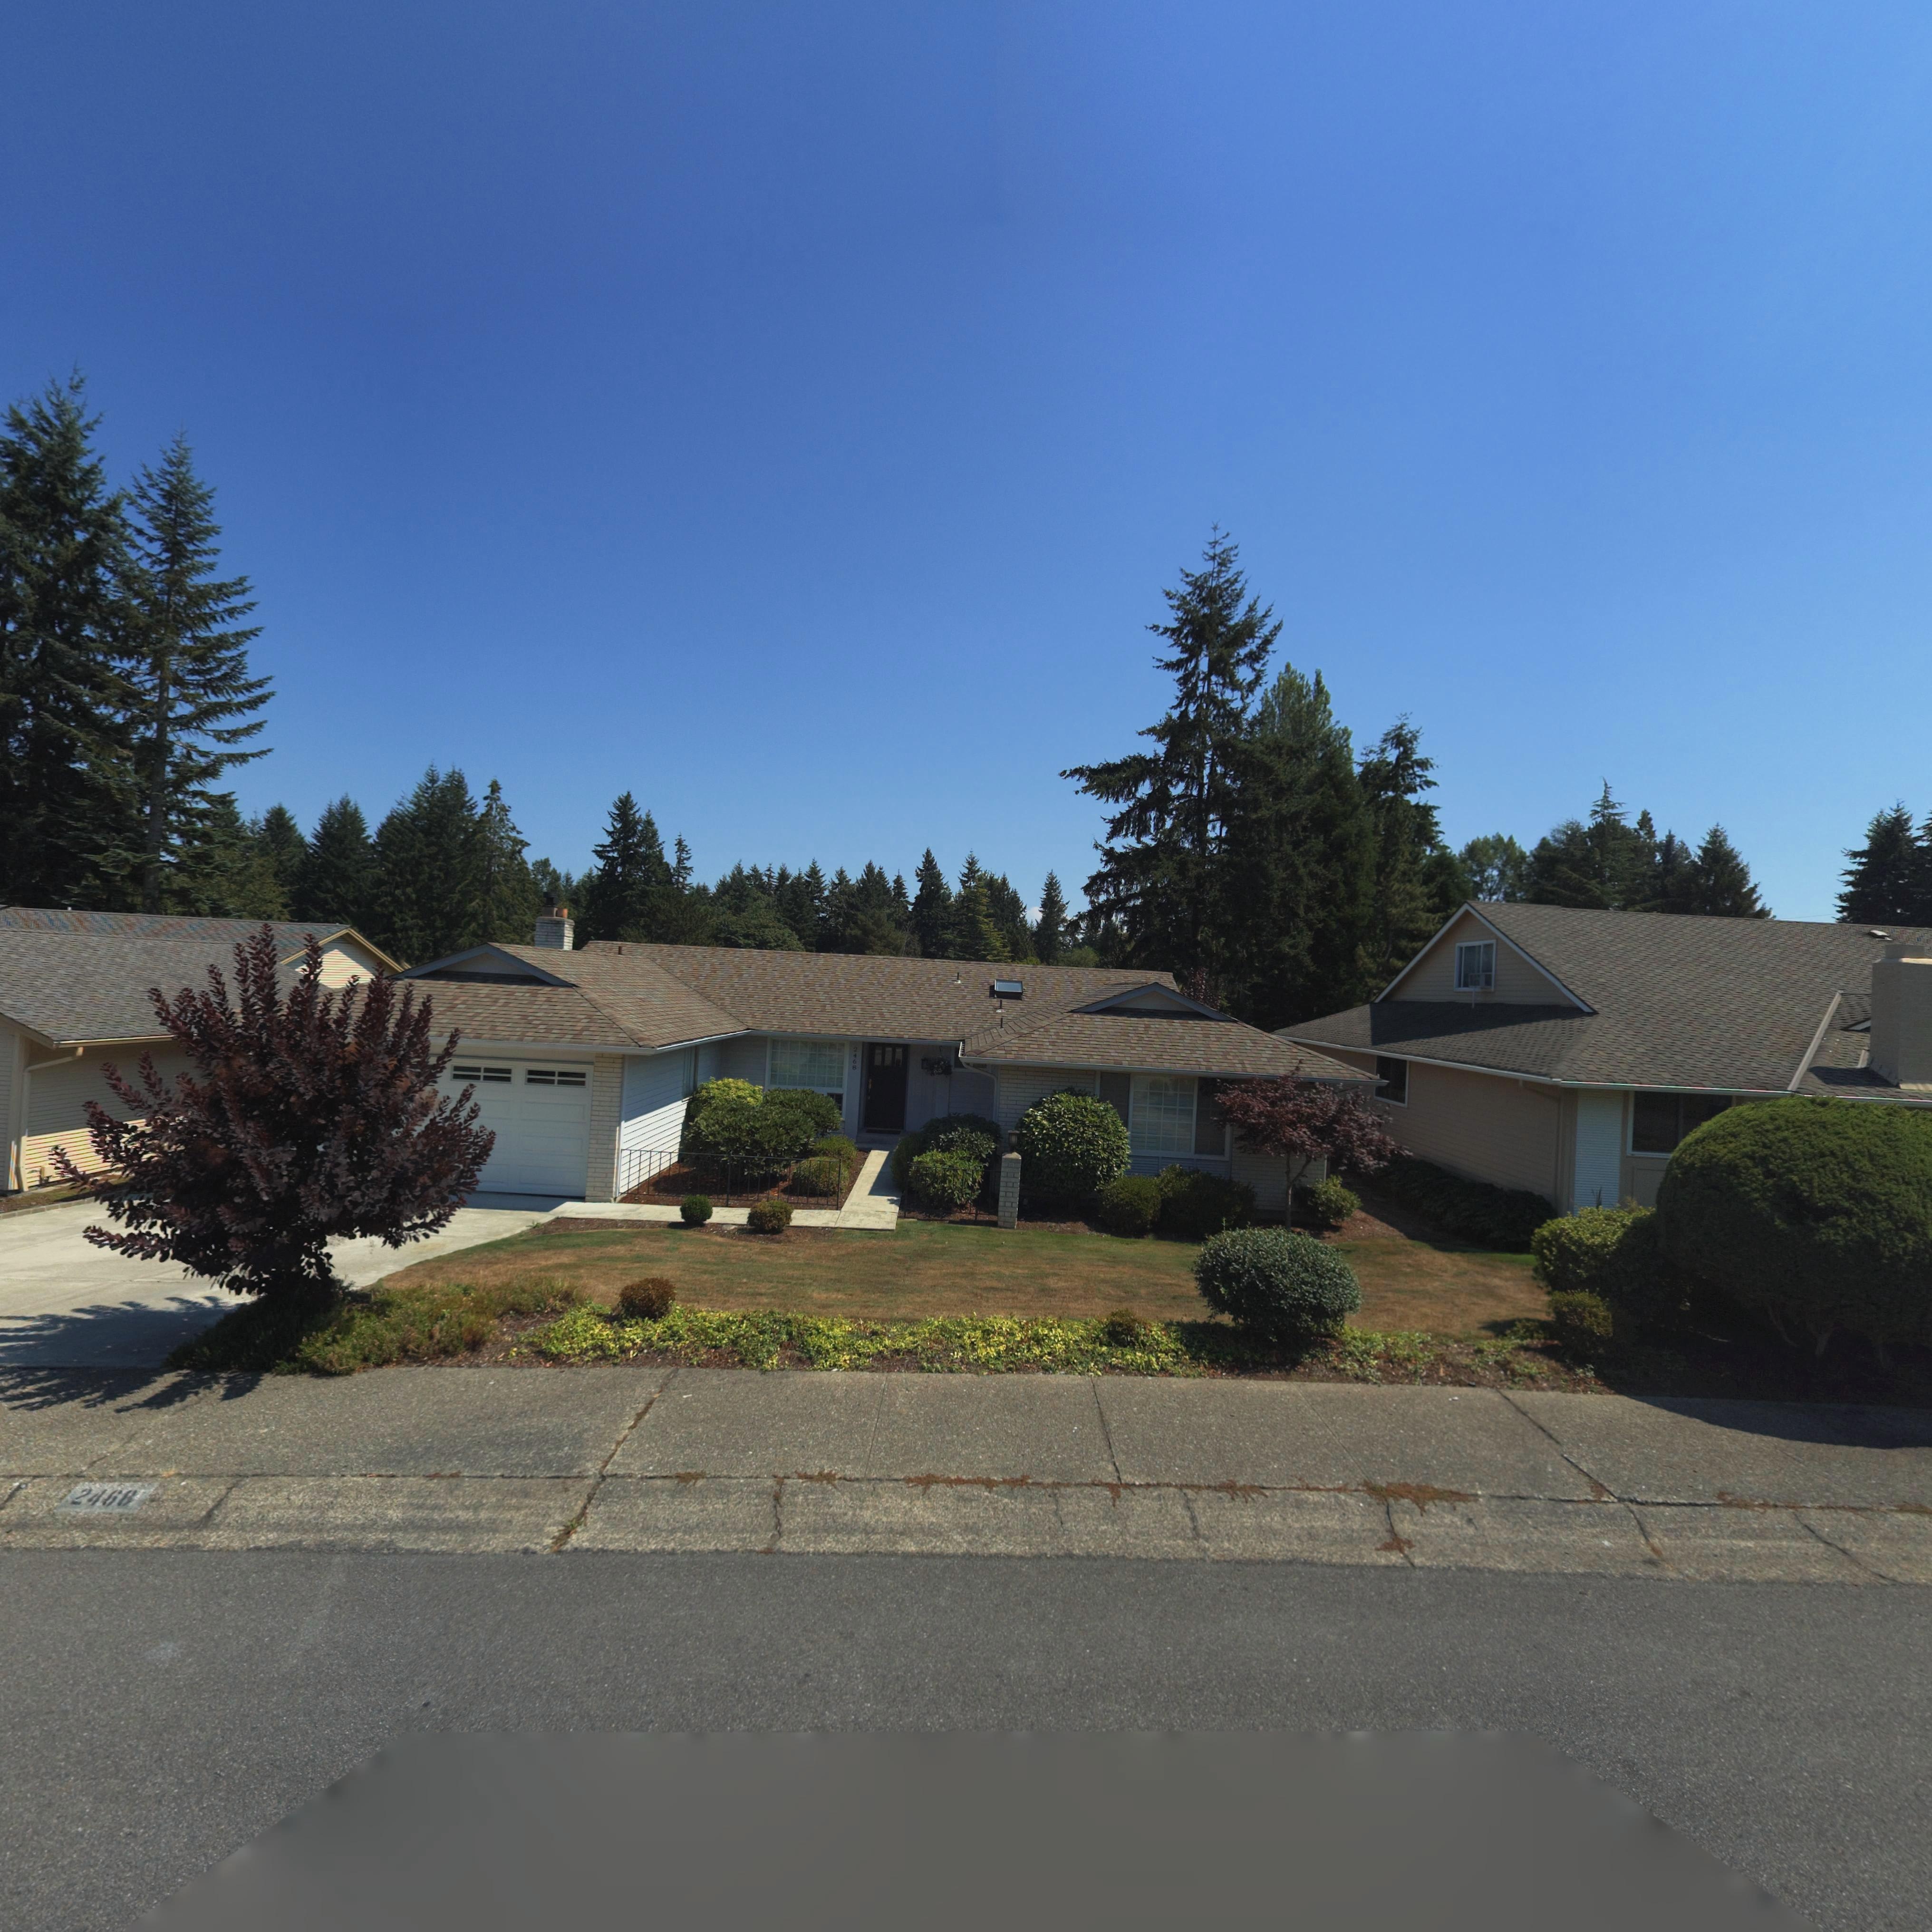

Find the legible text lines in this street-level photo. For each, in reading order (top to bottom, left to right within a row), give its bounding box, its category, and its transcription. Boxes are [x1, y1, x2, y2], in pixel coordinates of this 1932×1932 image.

[852, 1047, 857, 1070] StreetNumber: 2468
[70, 1488, 138, 1506] StreetNumber: 2468